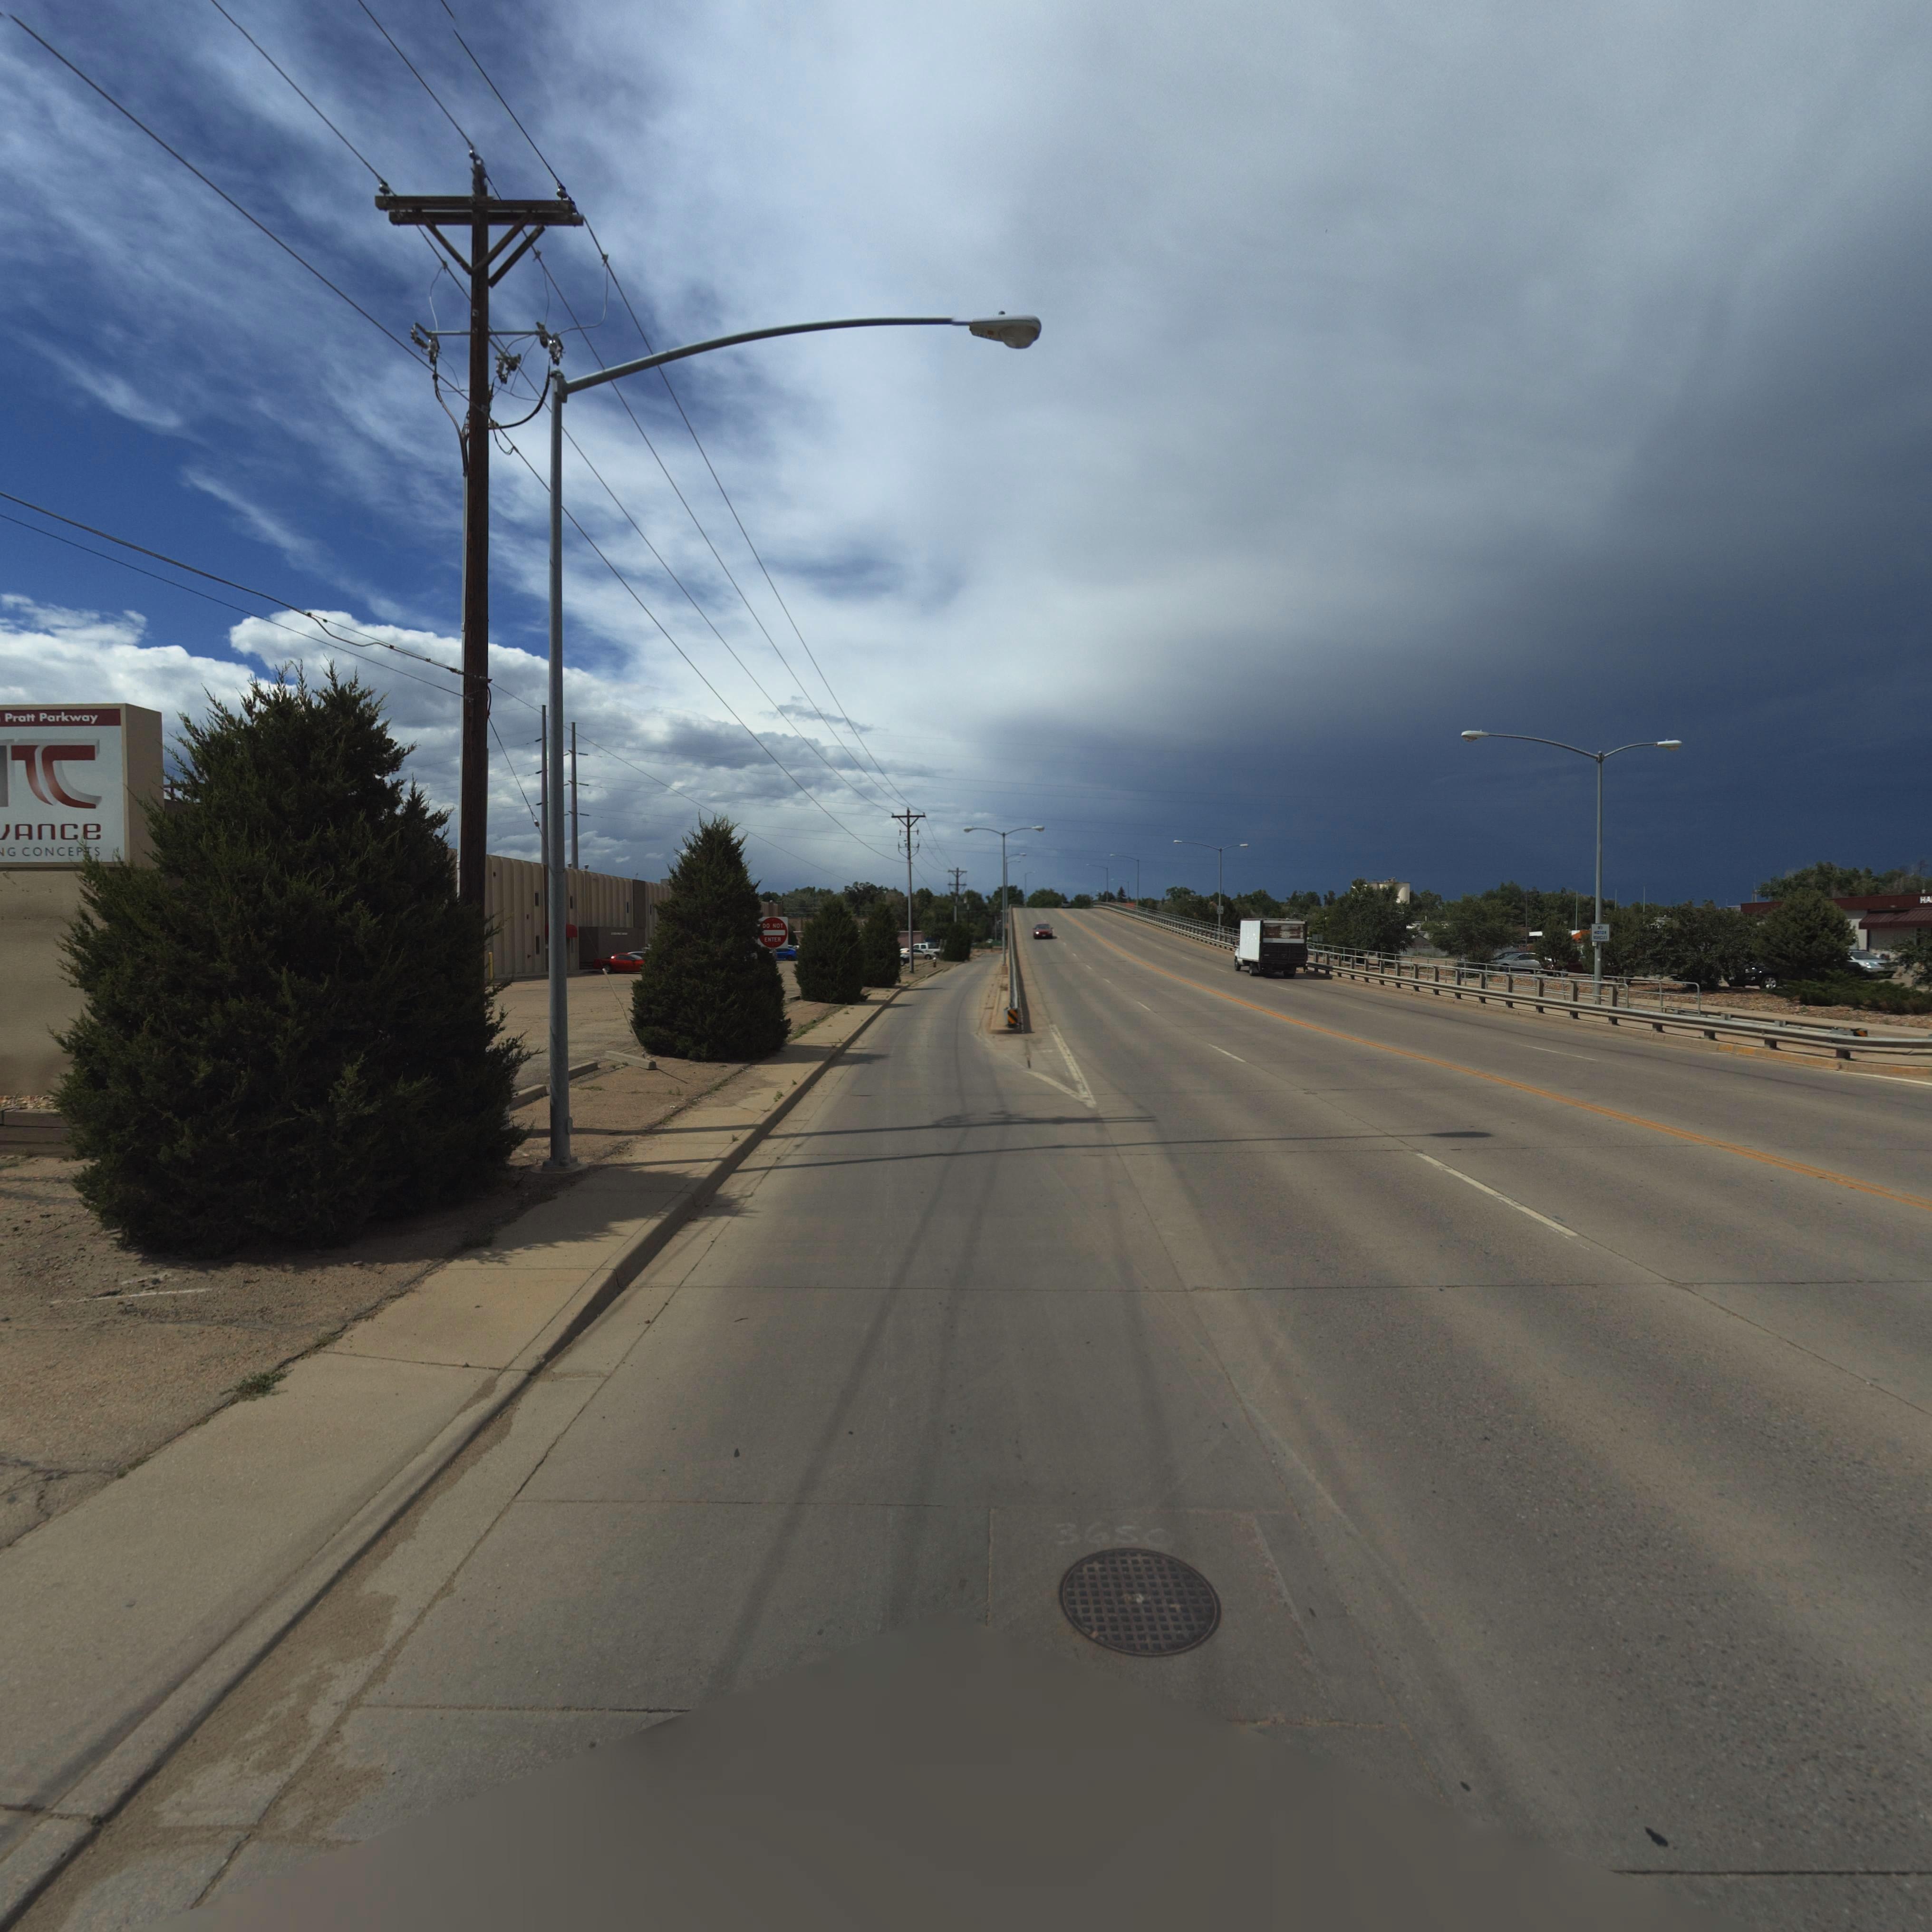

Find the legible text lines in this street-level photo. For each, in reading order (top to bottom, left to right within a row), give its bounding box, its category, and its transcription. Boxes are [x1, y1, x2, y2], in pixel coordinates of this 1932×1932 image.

[5, 712, 100, 727] StreetName: Pratt Parkway
[14, 822, 101, 840] BusinessName: ANCE
[6, 846, 100, 857] BusinessName: G CONCEP*S
[1052, 1520, 1176, 1549] StreetNumber: 3650